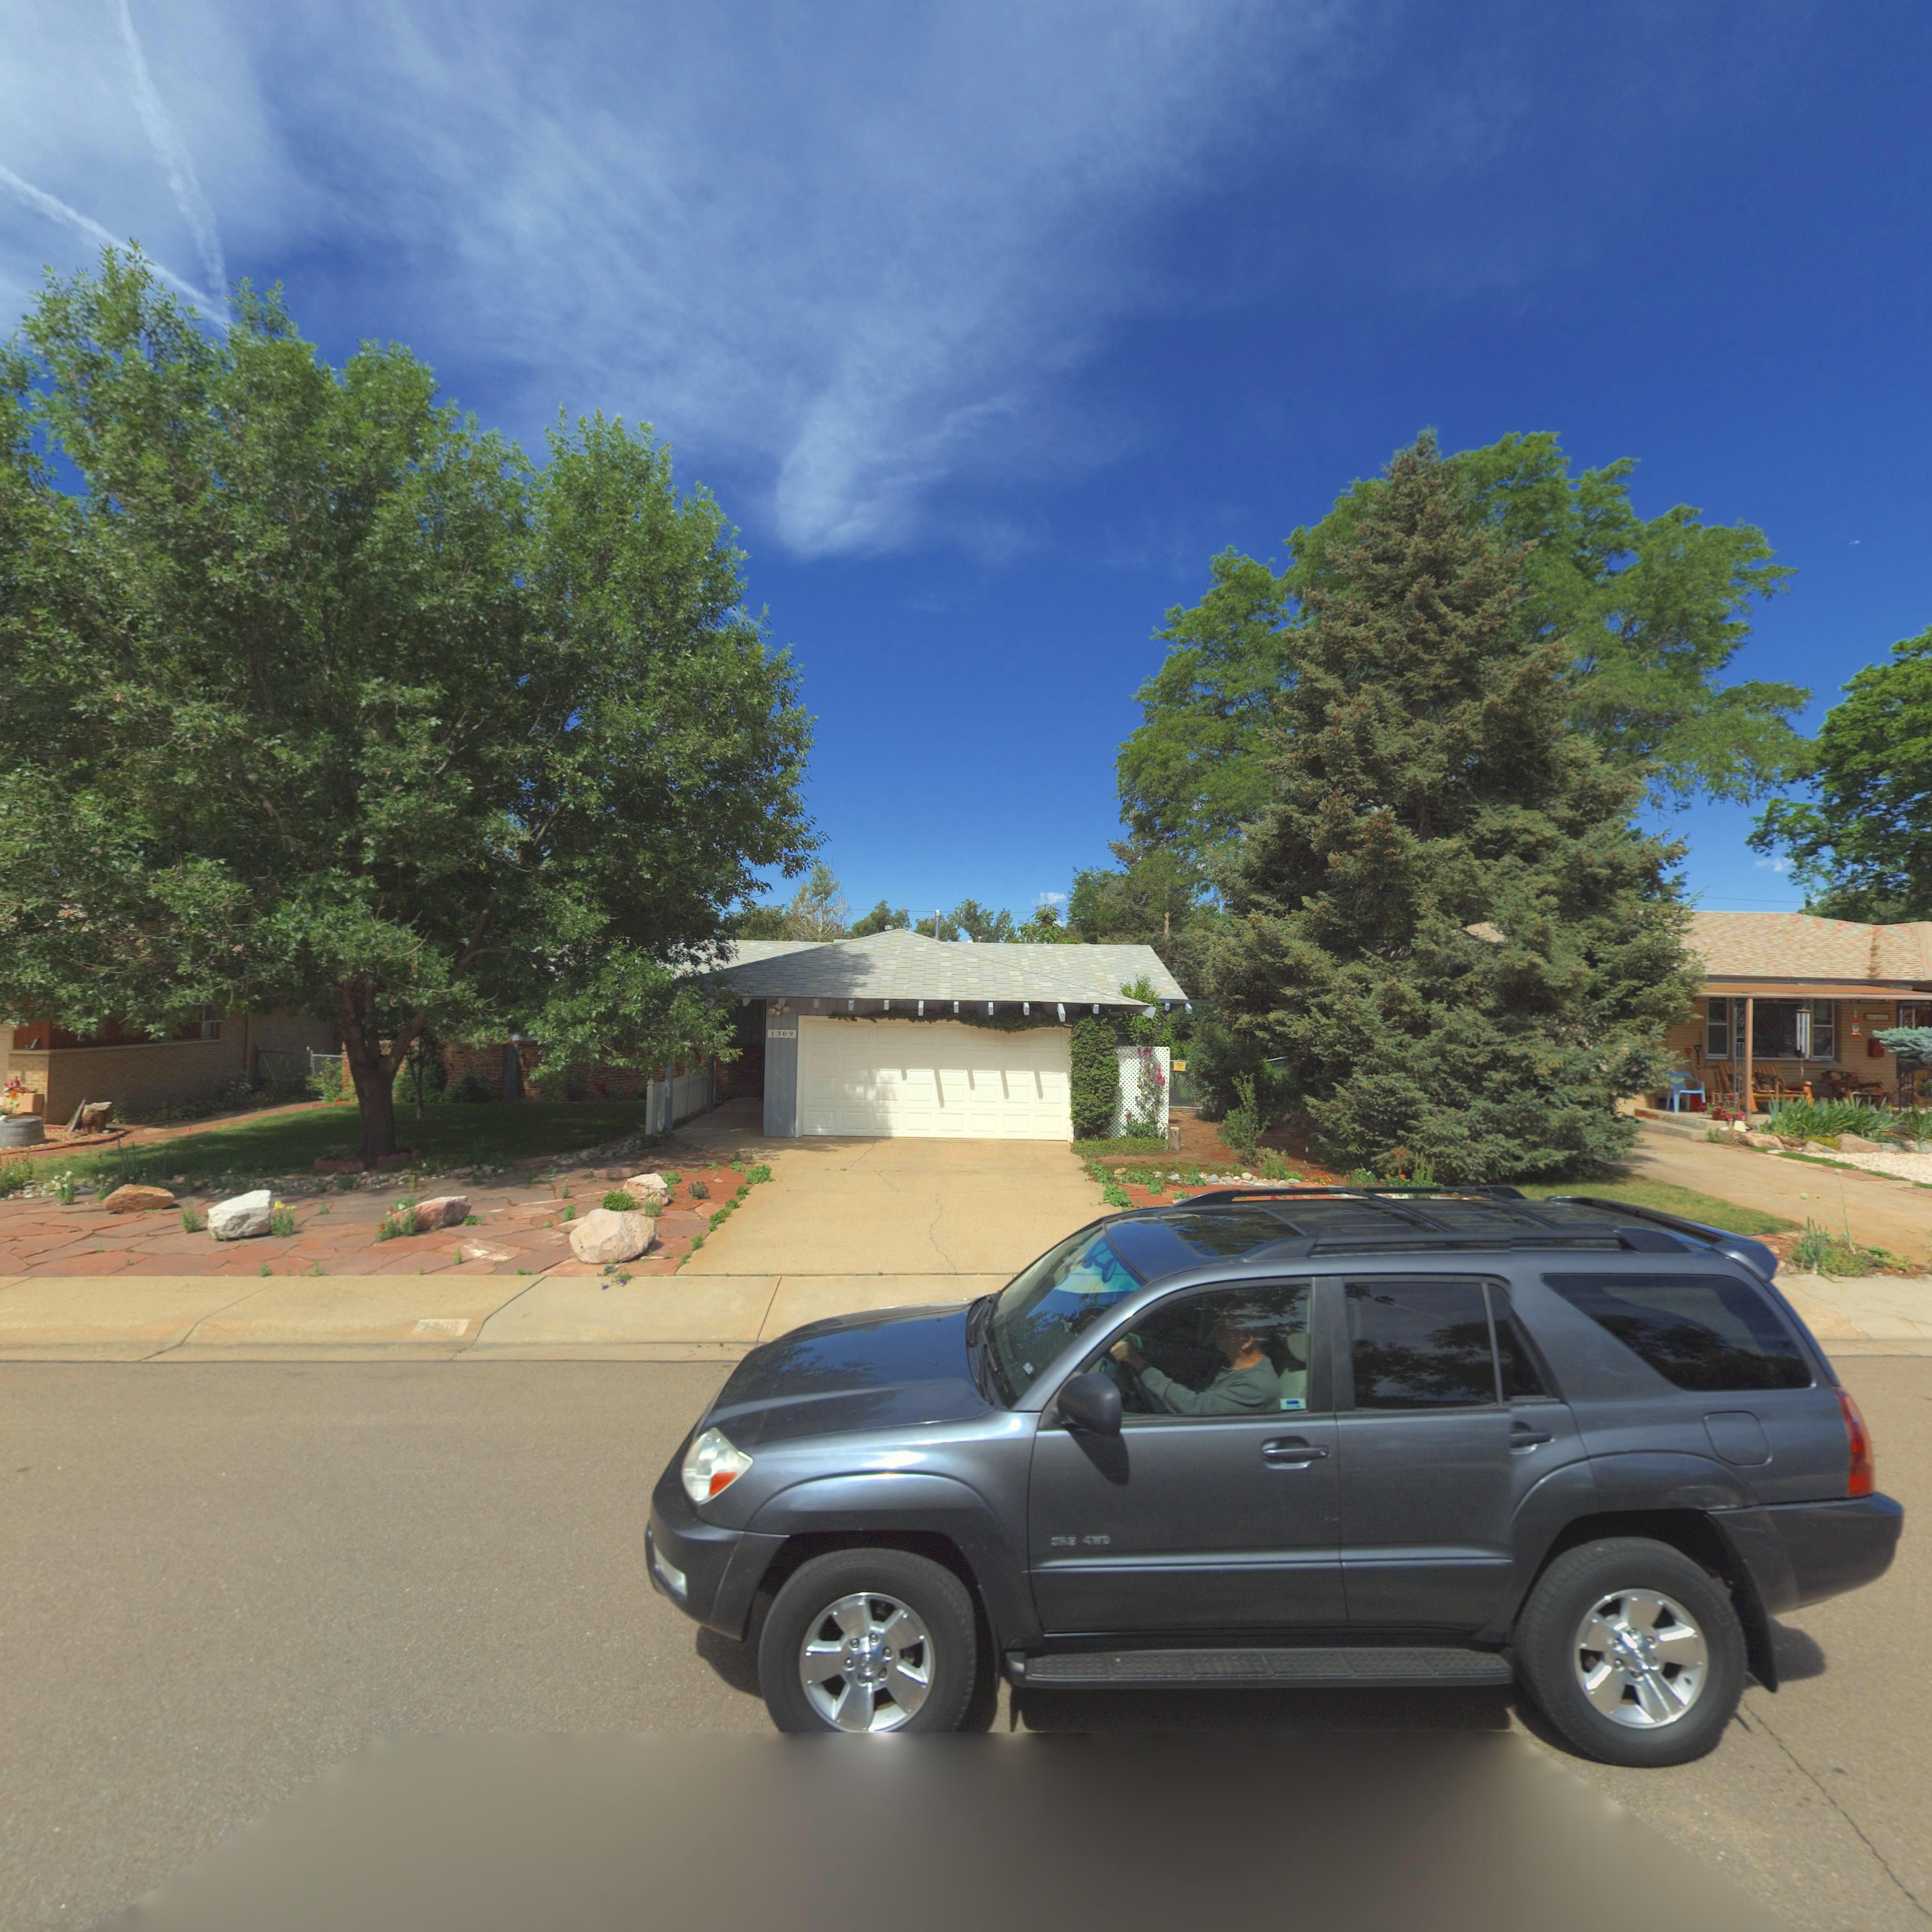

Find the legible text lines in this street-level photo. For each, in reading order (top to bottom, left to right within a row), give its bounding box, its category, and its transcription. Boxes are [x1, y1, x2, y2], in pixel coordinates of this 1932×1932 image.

[771, 1031, 793, 1036] StreetNumber: 1309